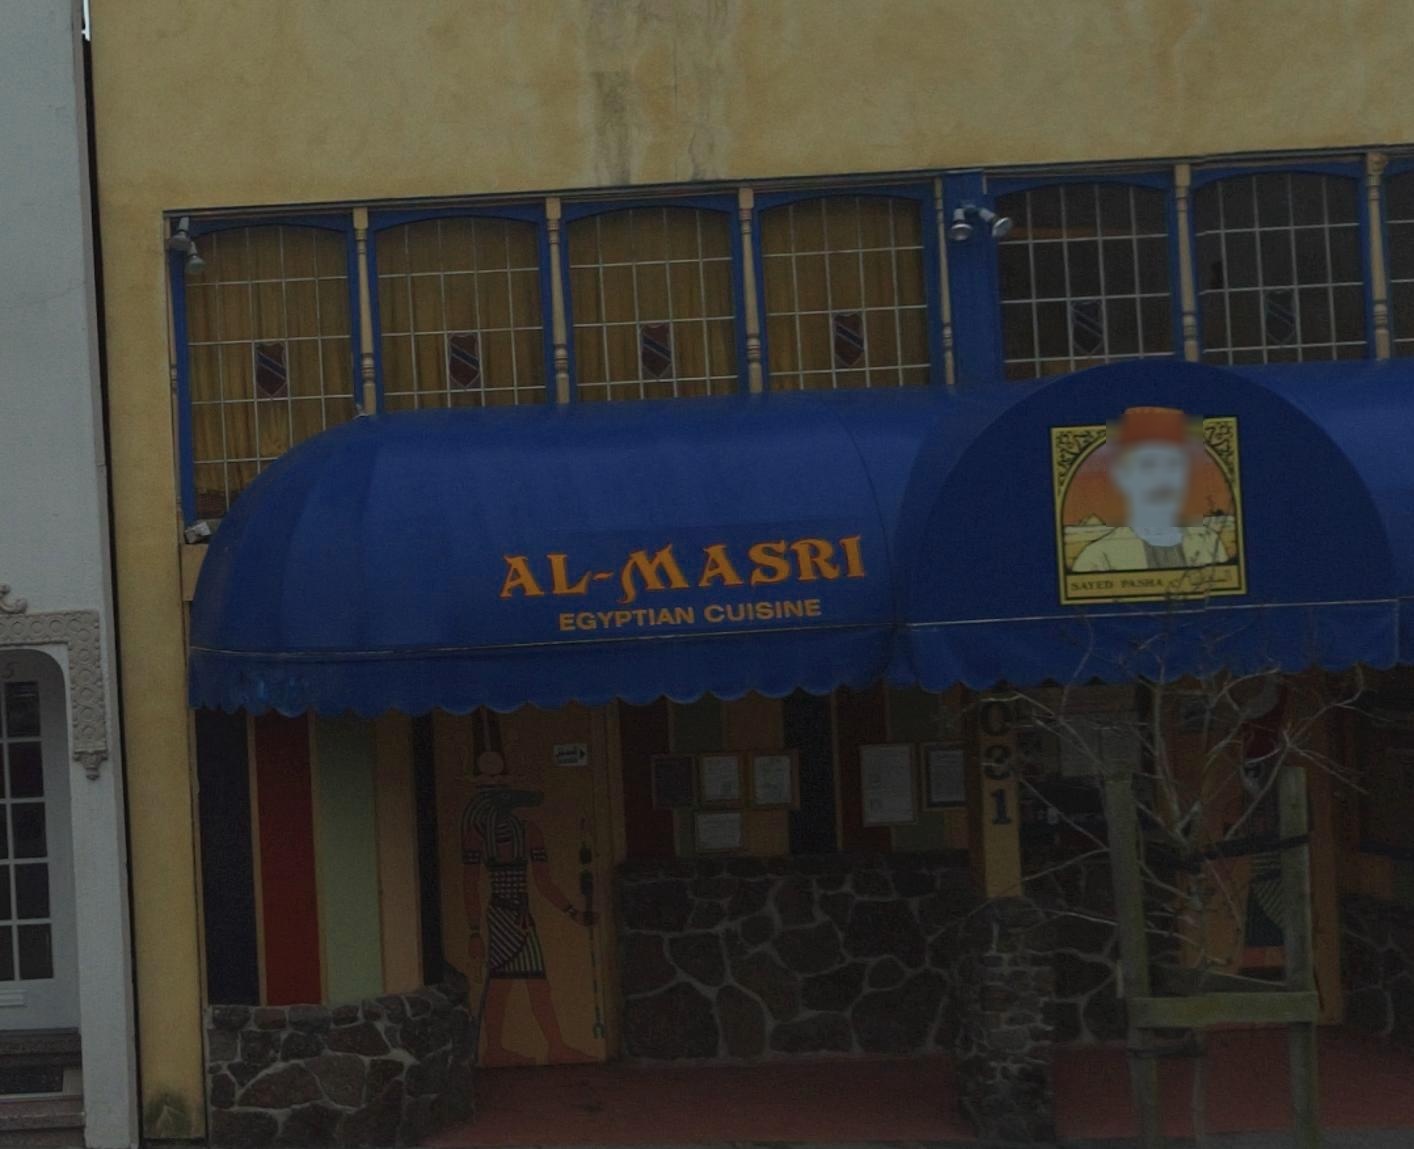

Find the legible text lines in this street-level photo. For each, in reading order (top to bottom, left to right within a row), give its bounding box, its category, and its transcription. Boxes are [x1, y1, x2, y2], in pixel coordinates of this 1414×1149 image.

[497, 532, 870, 608] BusinessName: AL-MASRI
[555, 596, 824, 634] BusinessName: EGYPTIAN CUISINE
[1068, 576, 1166, 592] None: SAYED PASMA
[977, 698, 1016, 827] StreetNumber: 0*1